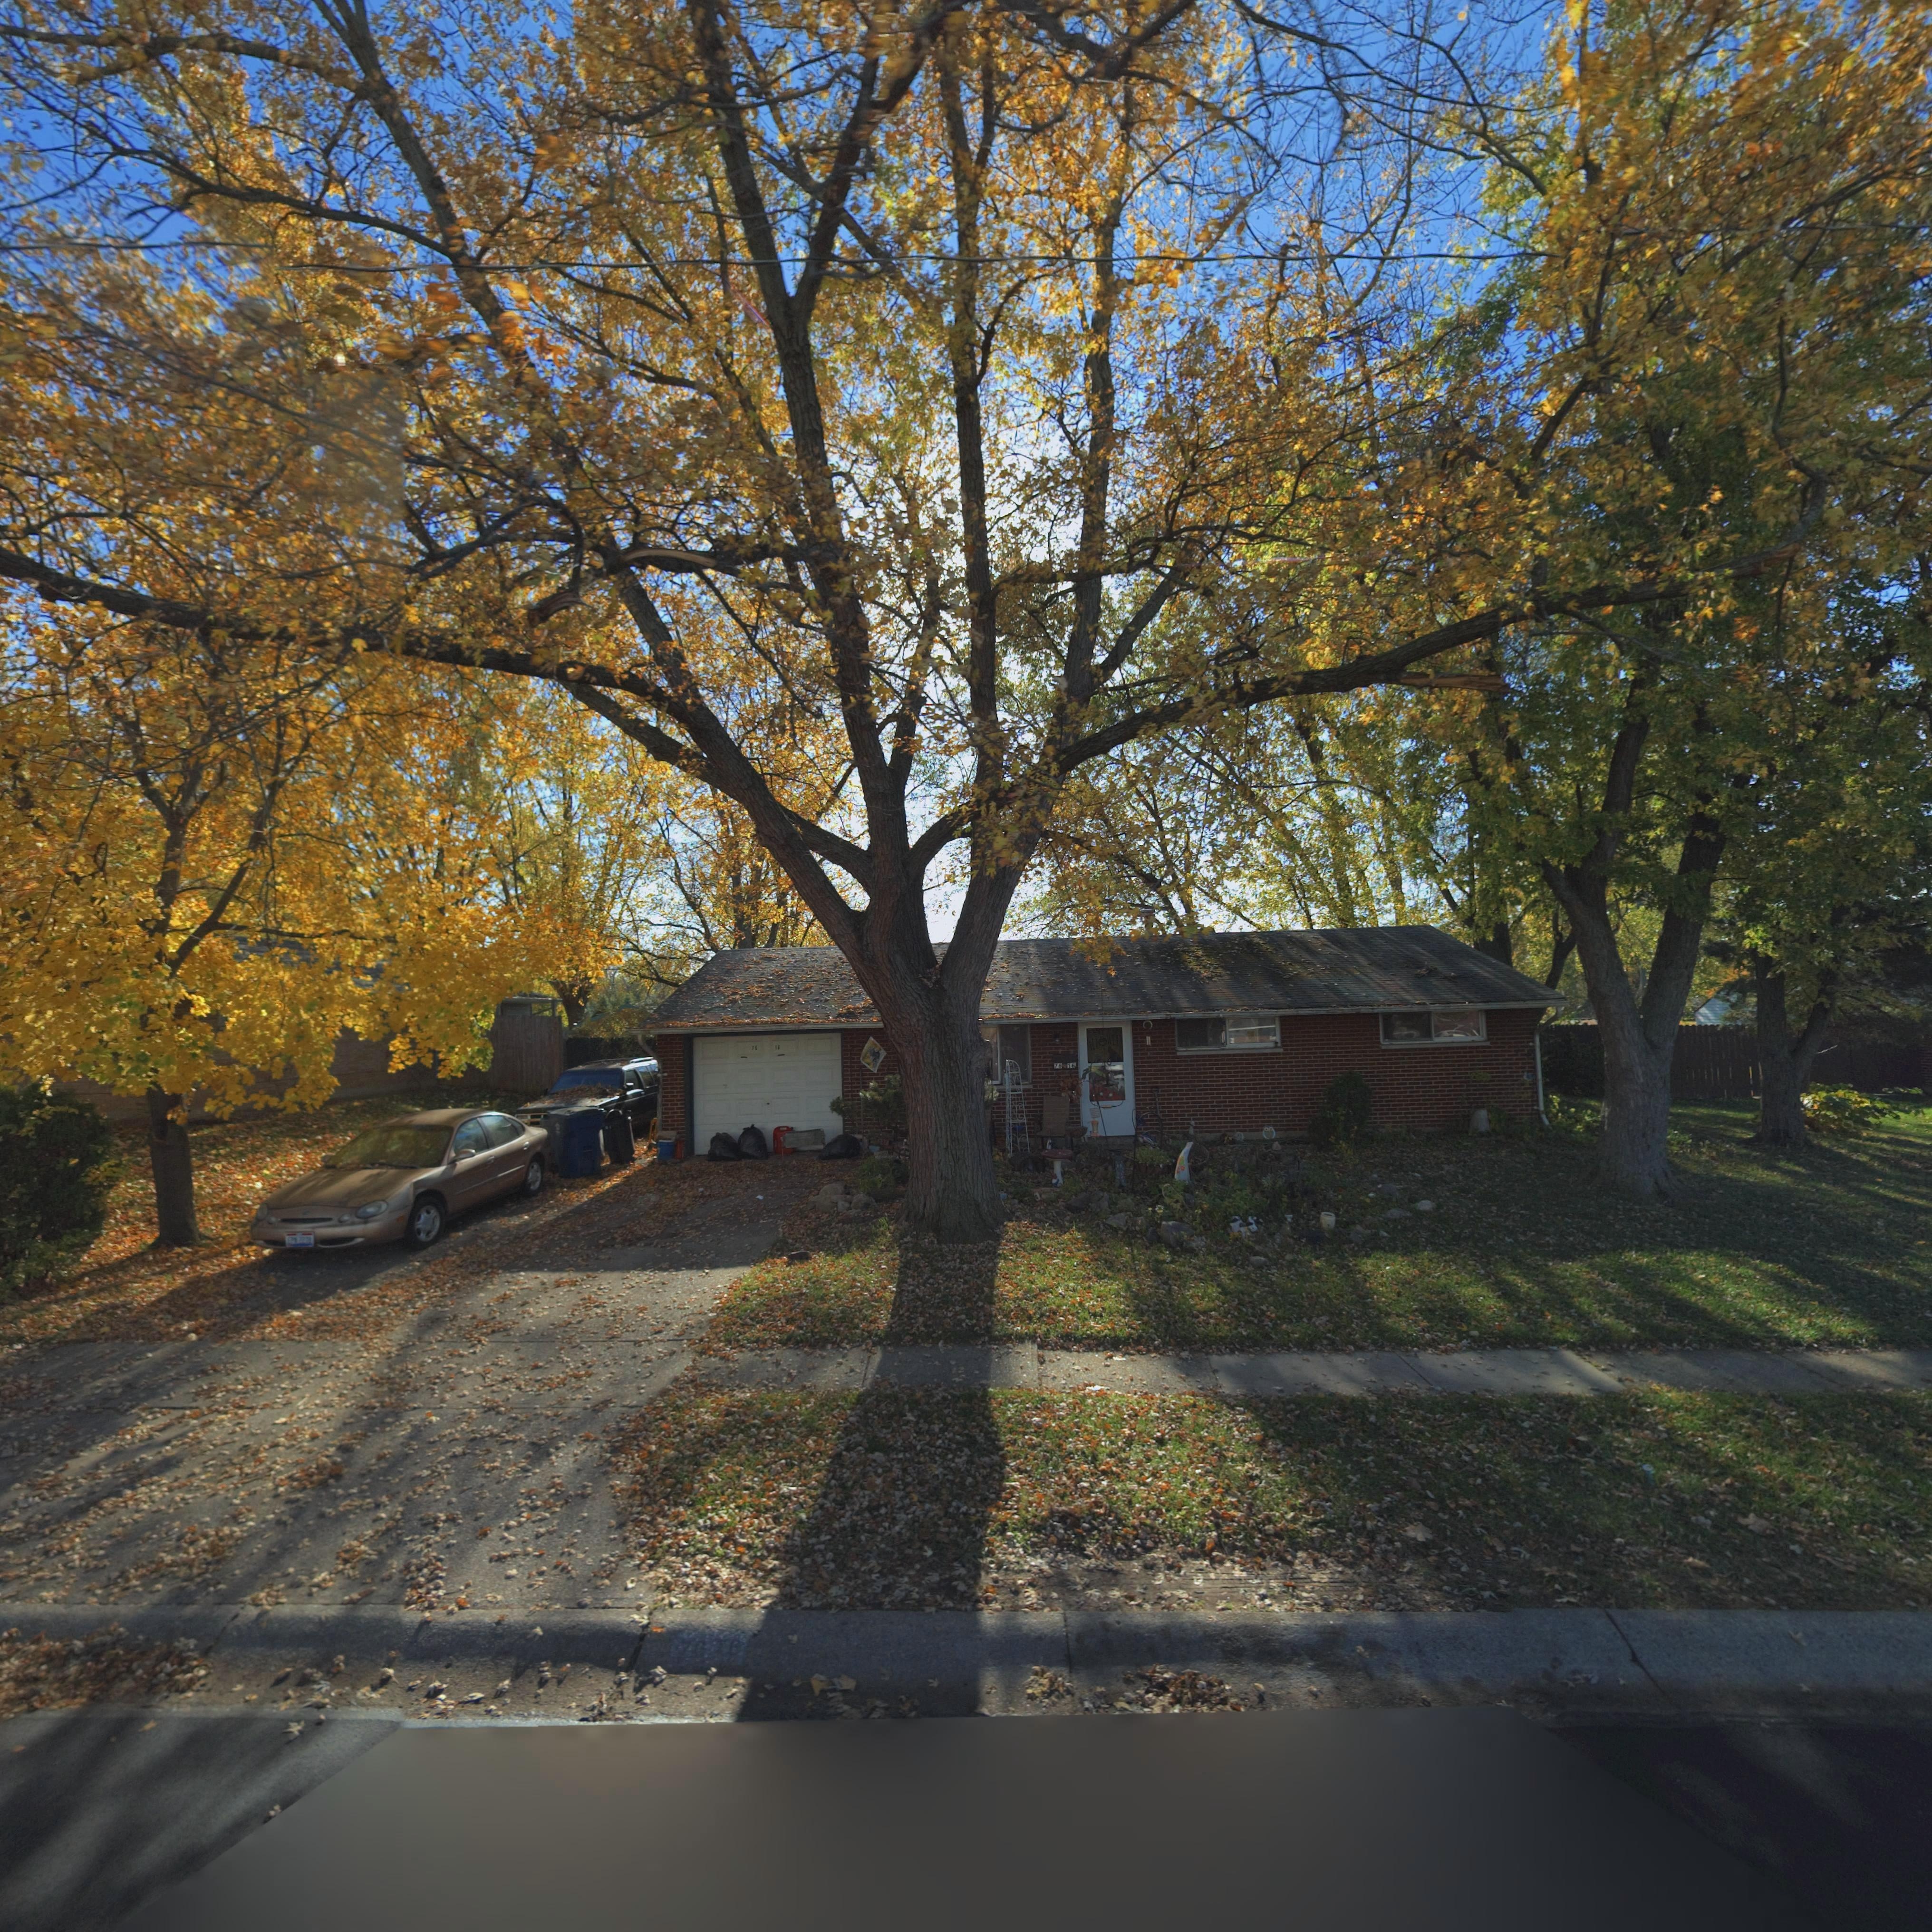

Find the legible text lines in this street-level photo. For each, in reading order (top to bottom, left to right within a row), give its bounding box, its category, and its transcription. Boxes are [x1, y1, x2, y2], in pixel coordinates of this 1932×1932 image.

[750, 1043, 781, 1052] StreetNumber: ***1*
[1054, 1062, 1076, 1069] StreetNumber: 76*16